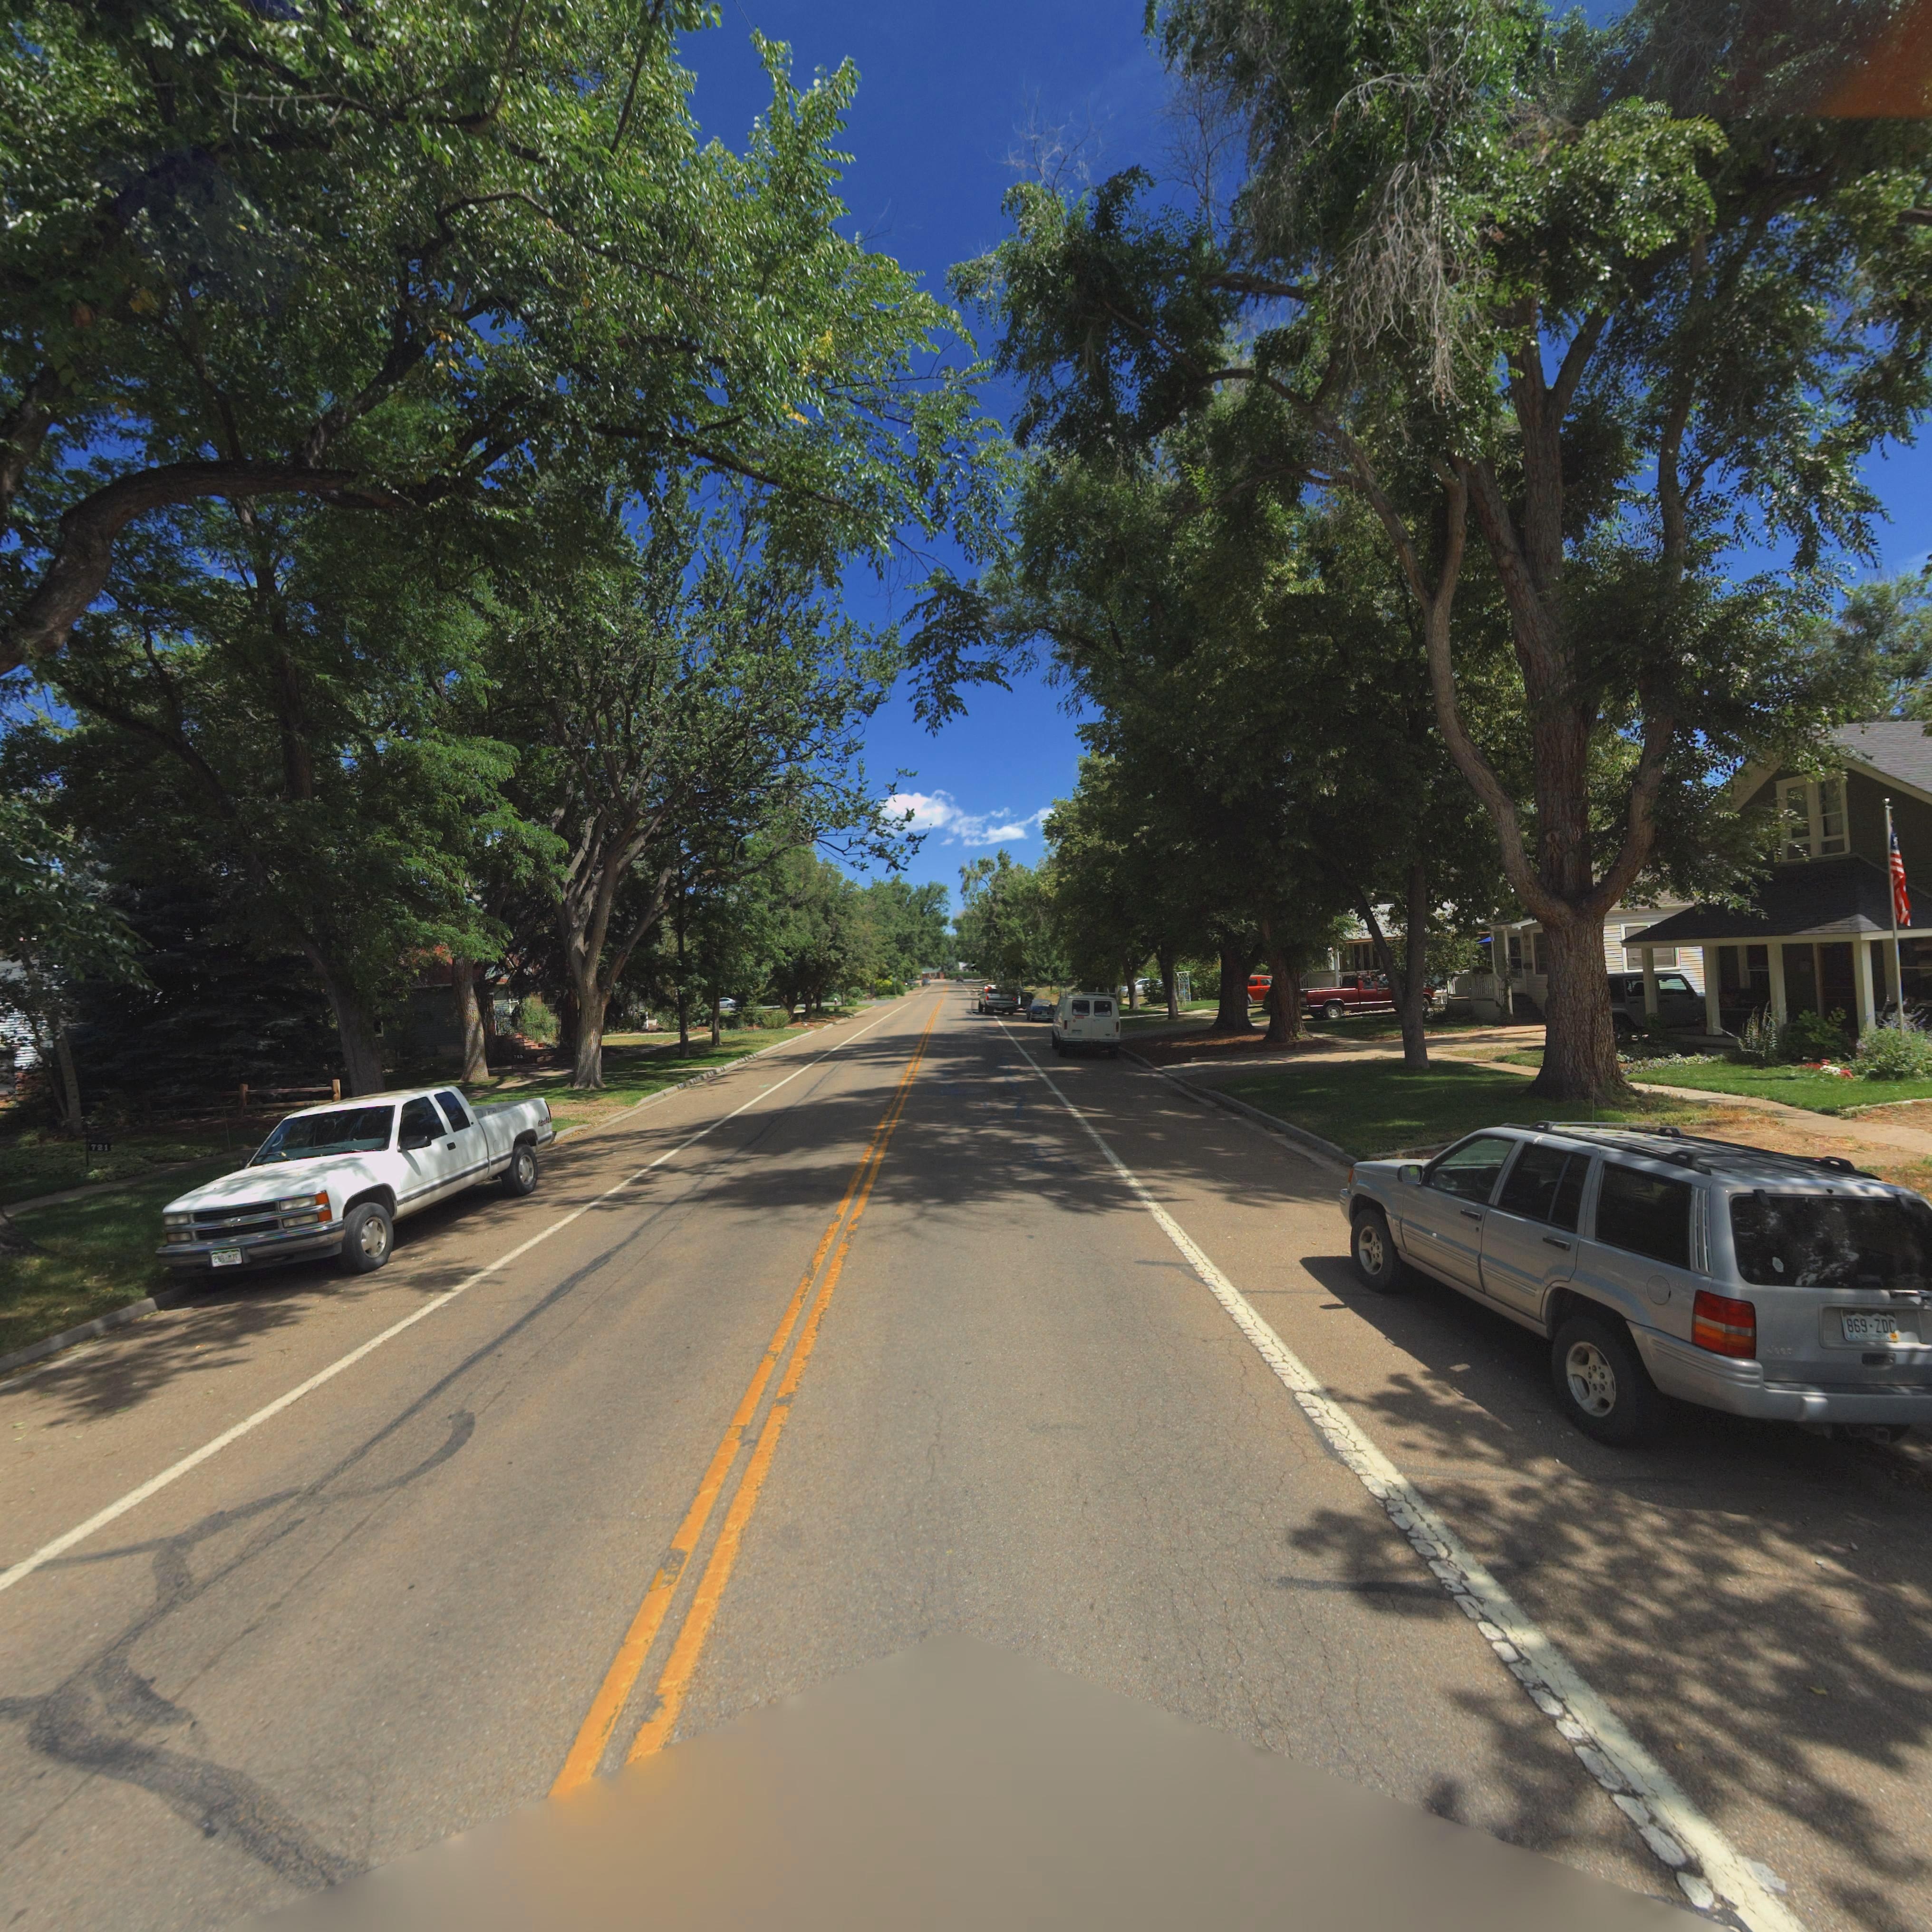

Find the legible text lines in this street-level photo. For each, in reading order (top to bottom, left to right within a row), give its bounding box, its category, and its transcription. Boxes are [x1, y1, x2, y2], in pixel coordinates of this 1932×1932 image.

[89, 1143, 108, 1151] StreetNumber: 721